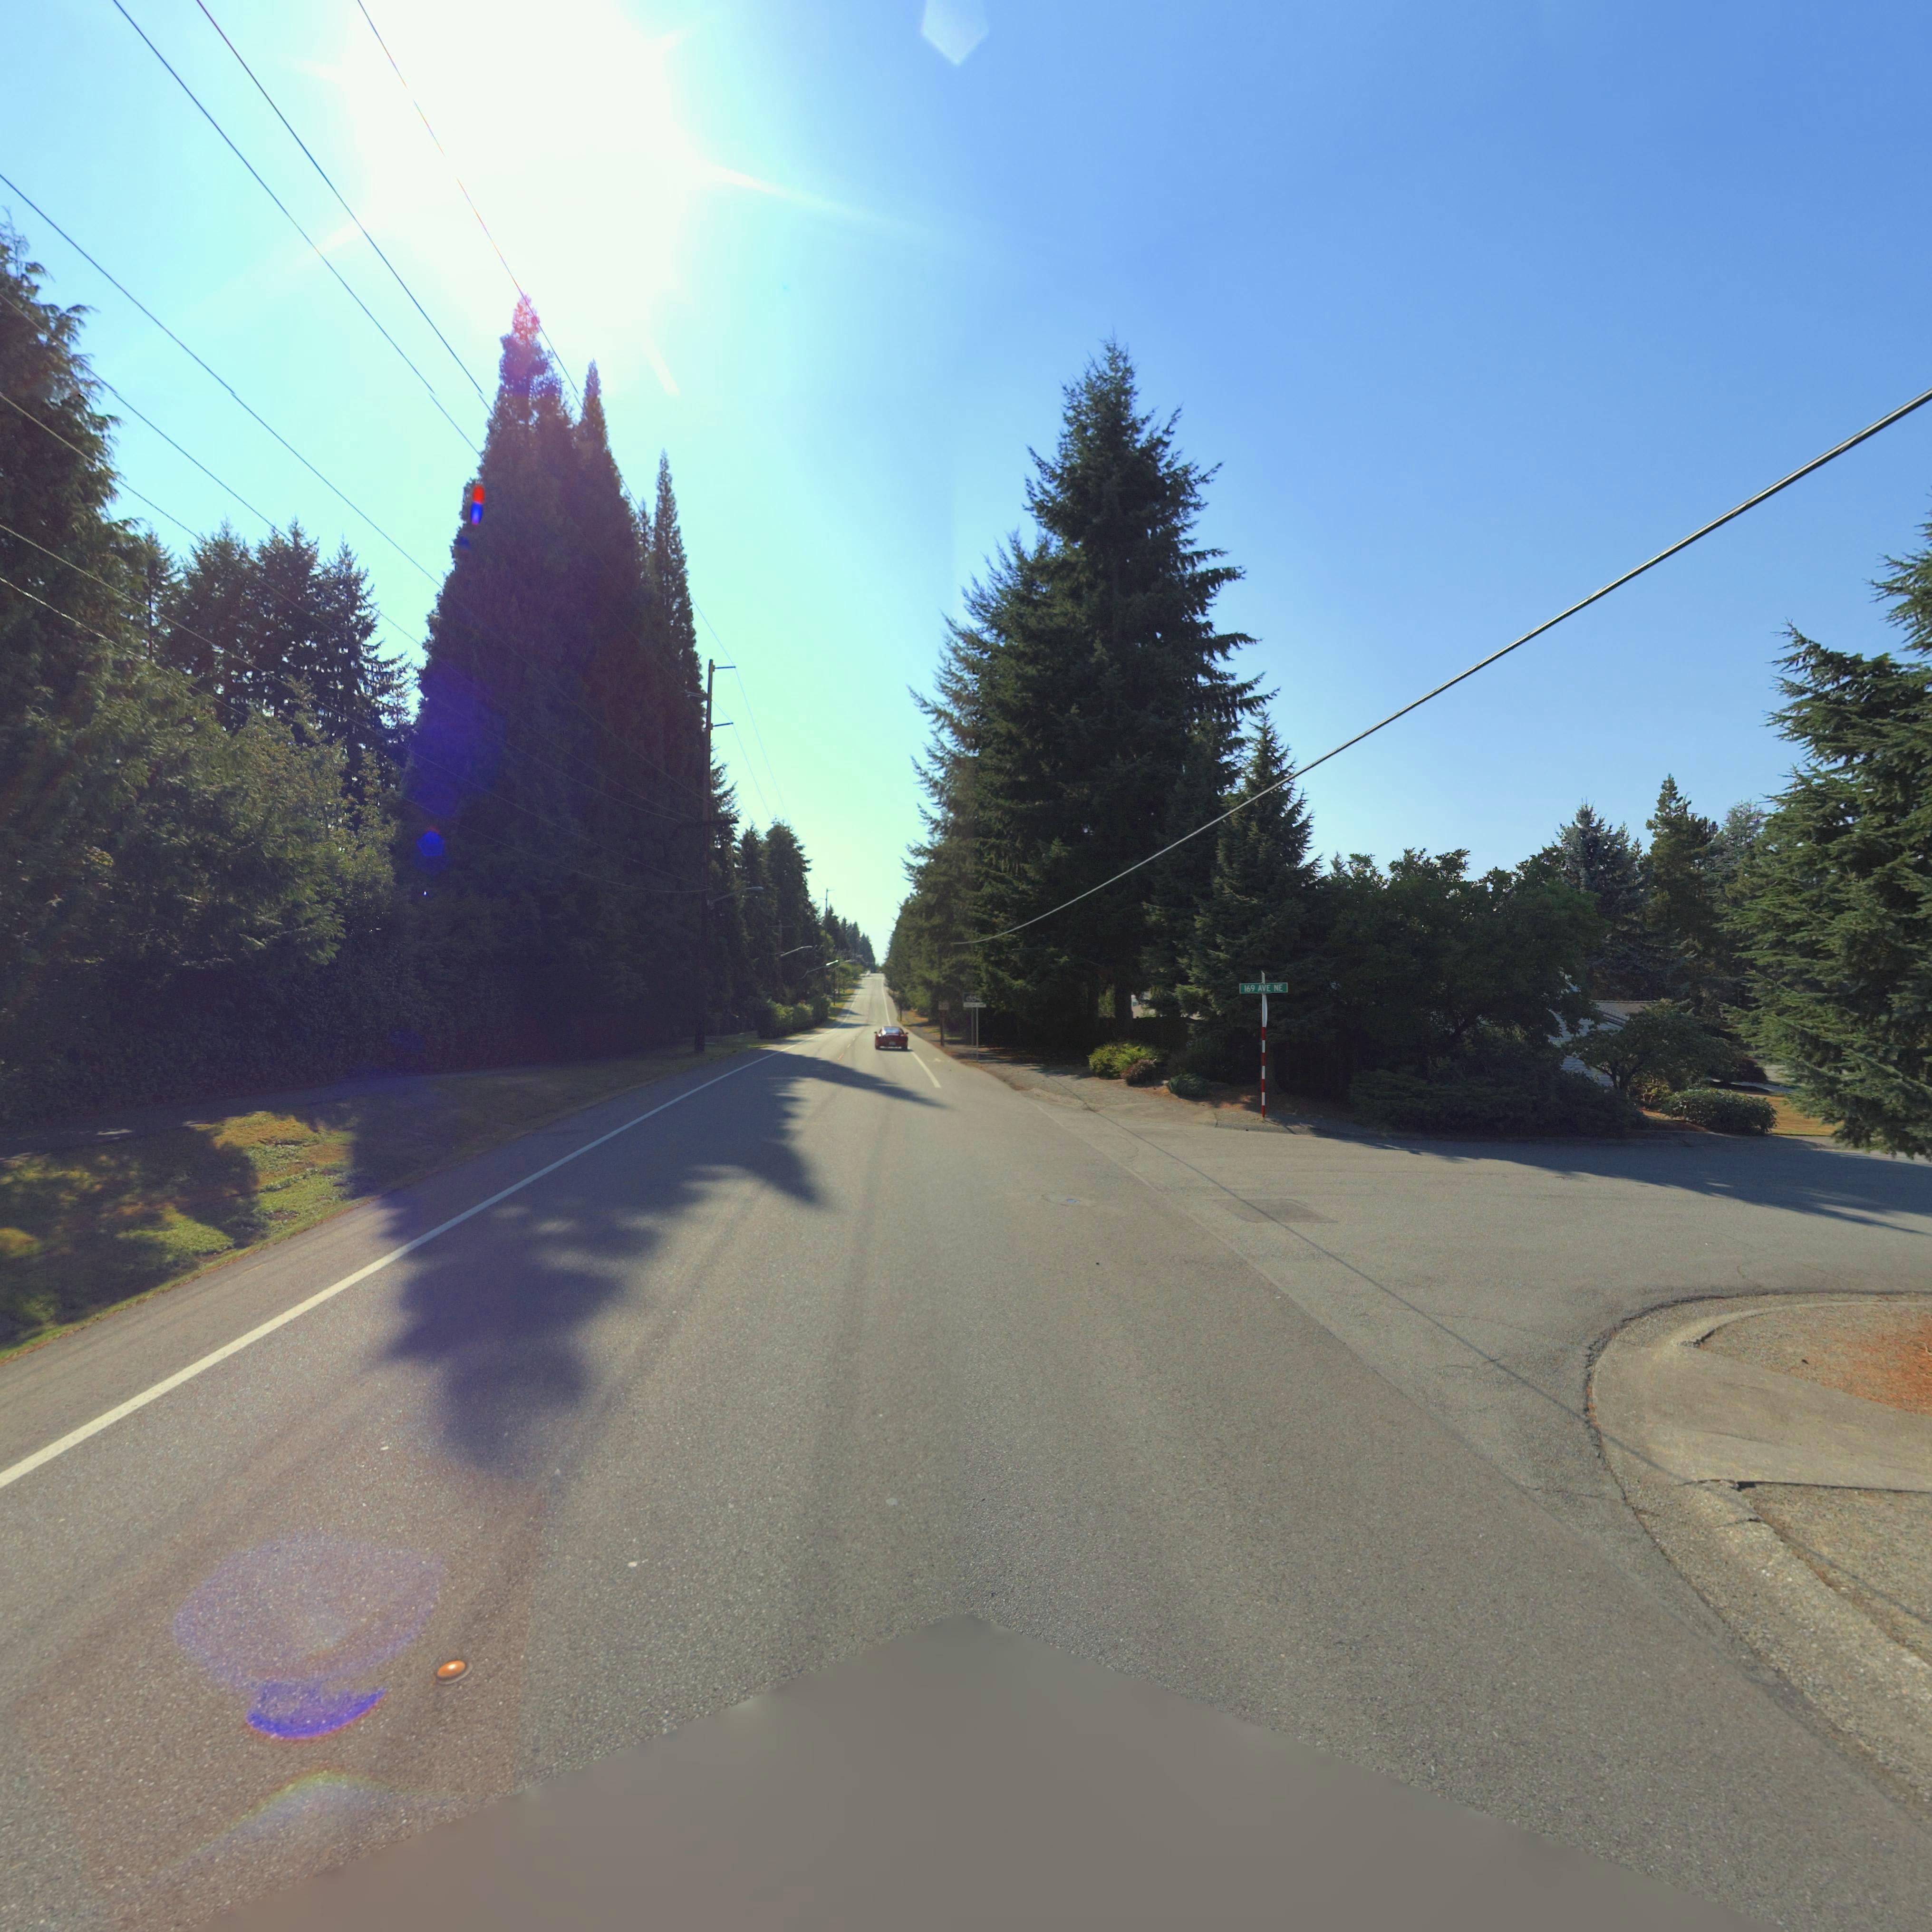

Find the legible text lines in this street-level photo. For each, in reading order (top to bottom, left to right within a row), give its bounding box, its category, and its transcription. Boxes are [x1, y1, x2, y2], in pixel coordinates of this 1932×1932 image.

[1245, 985, 1282, 991] StreetName: 169 AVE NE